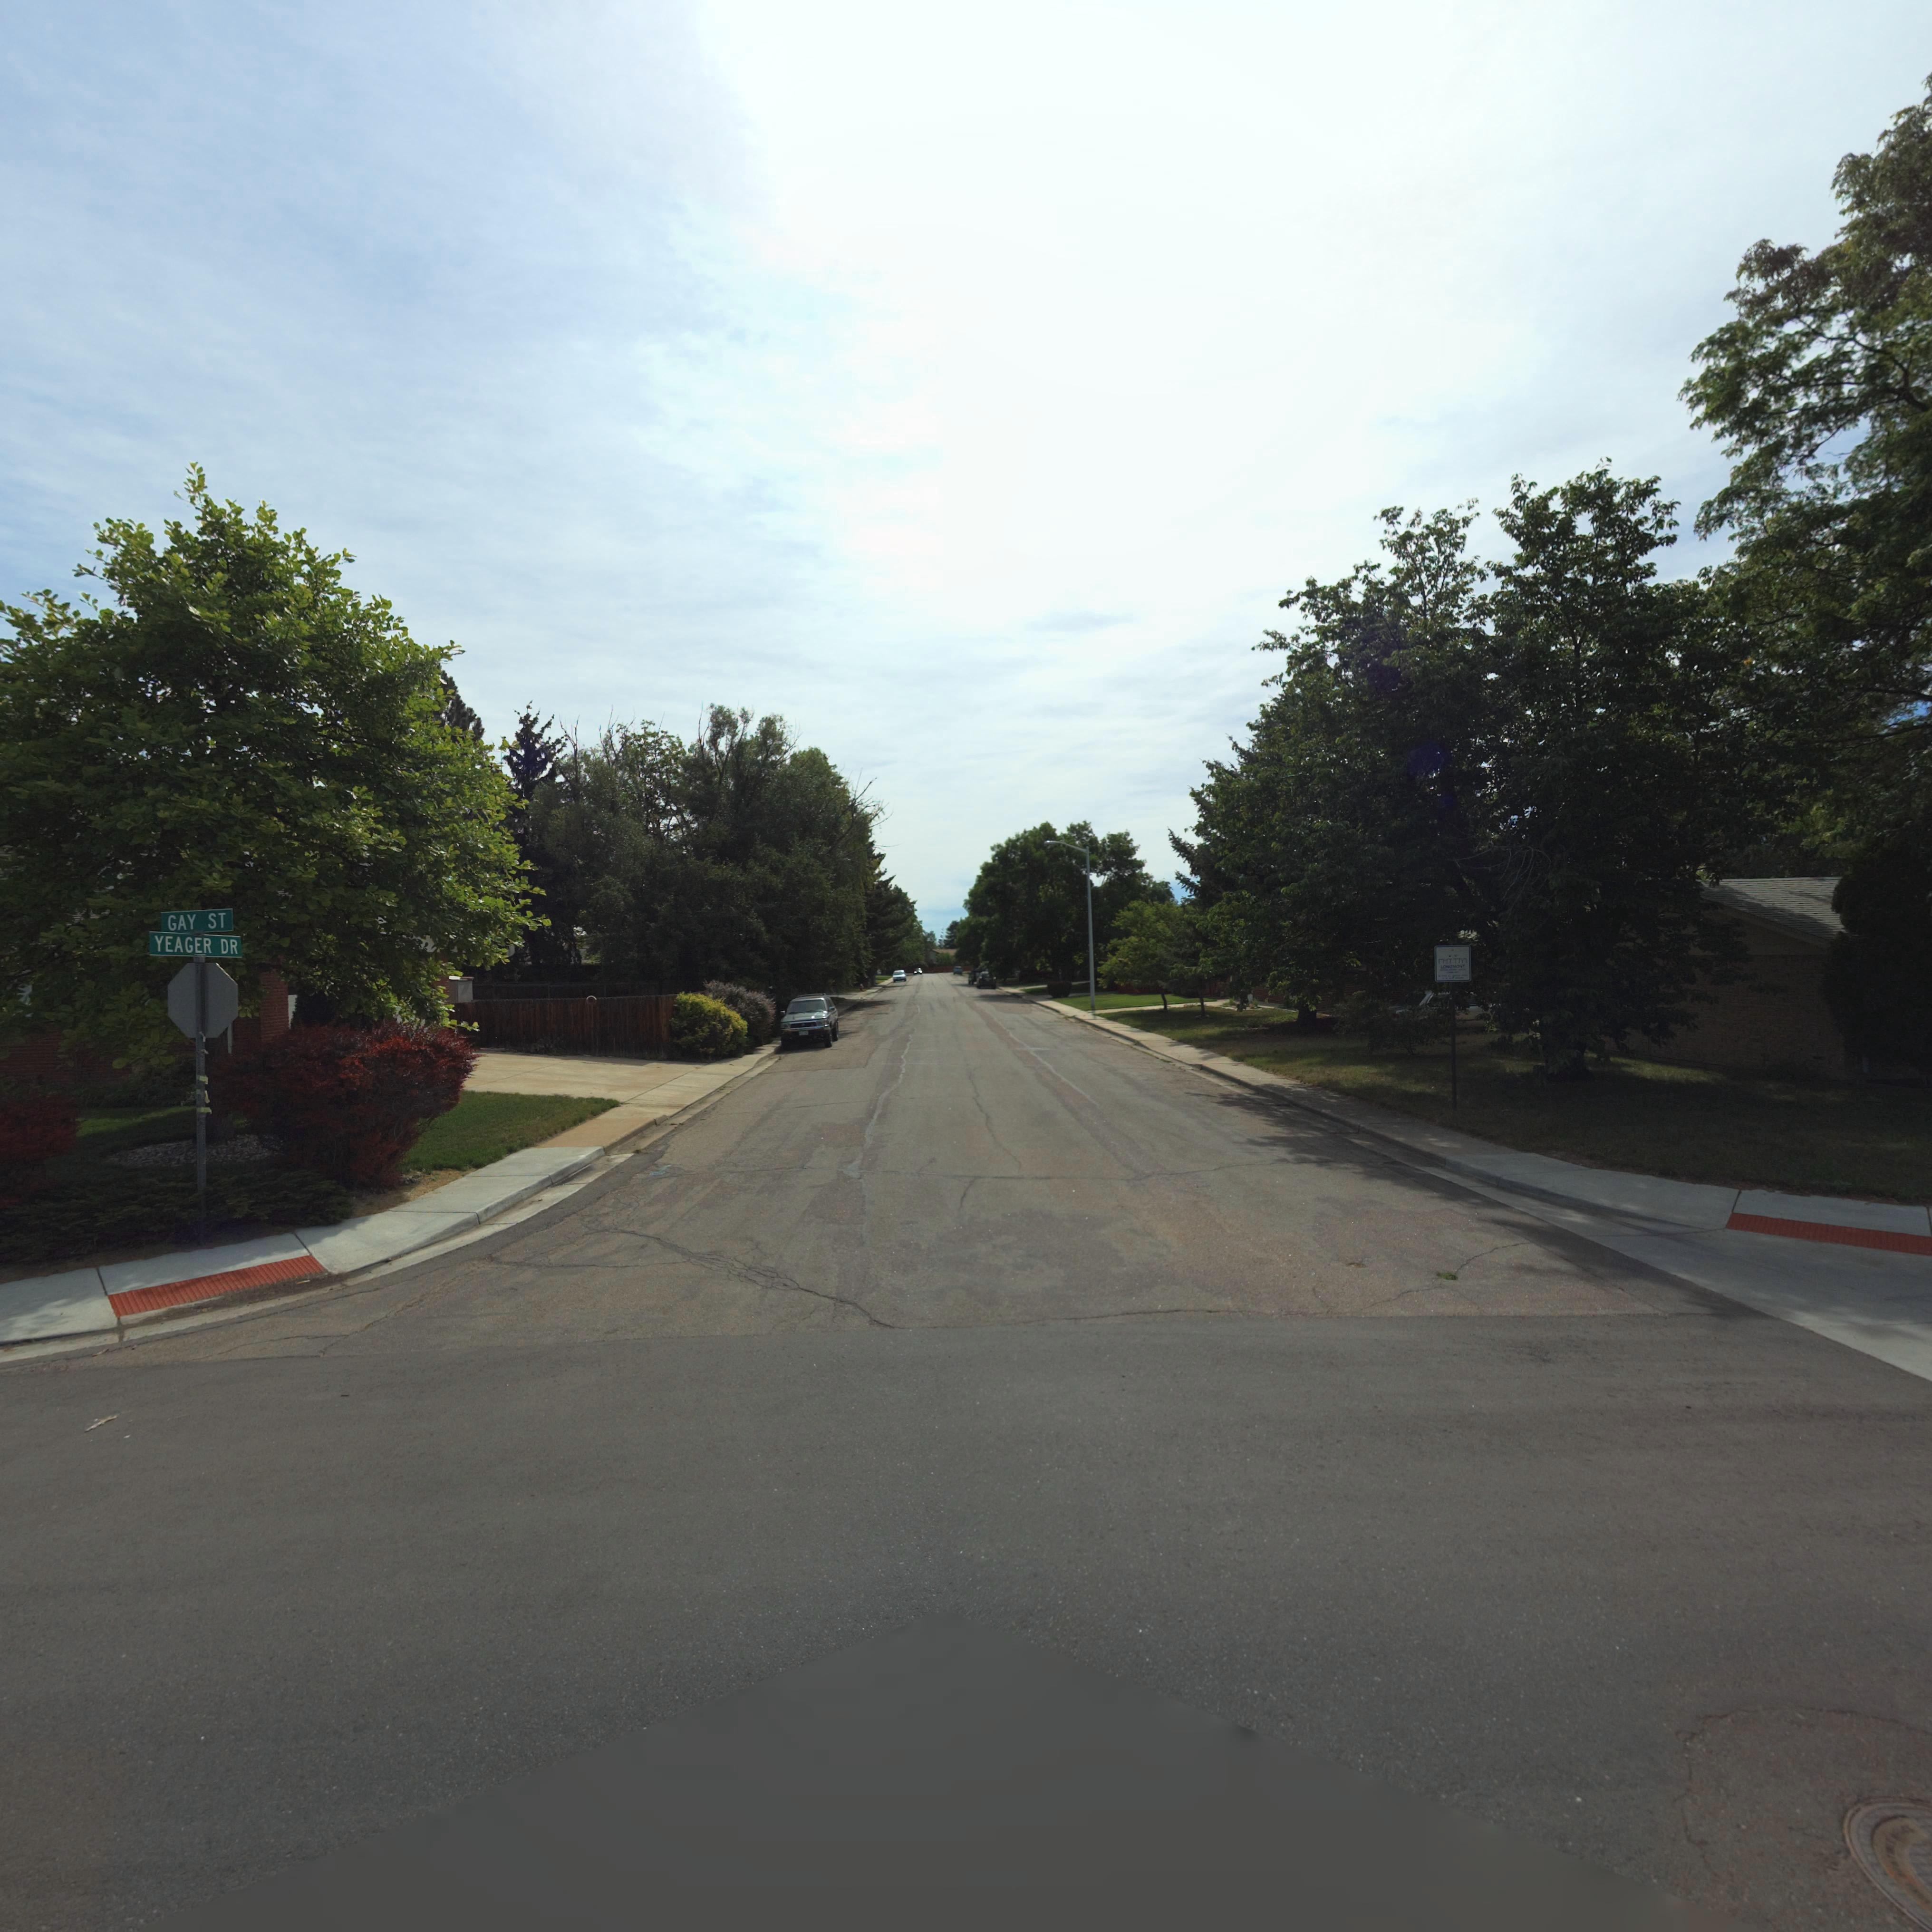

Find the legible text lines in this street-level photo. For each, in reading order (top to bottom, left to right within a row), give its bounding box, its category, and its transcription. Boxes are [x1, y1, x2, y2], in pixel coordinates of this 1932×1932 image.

[167, 912, 226, 931] StreetName: GAY ST
[154, 934, 238, 955] StreetName: YEAGER DR